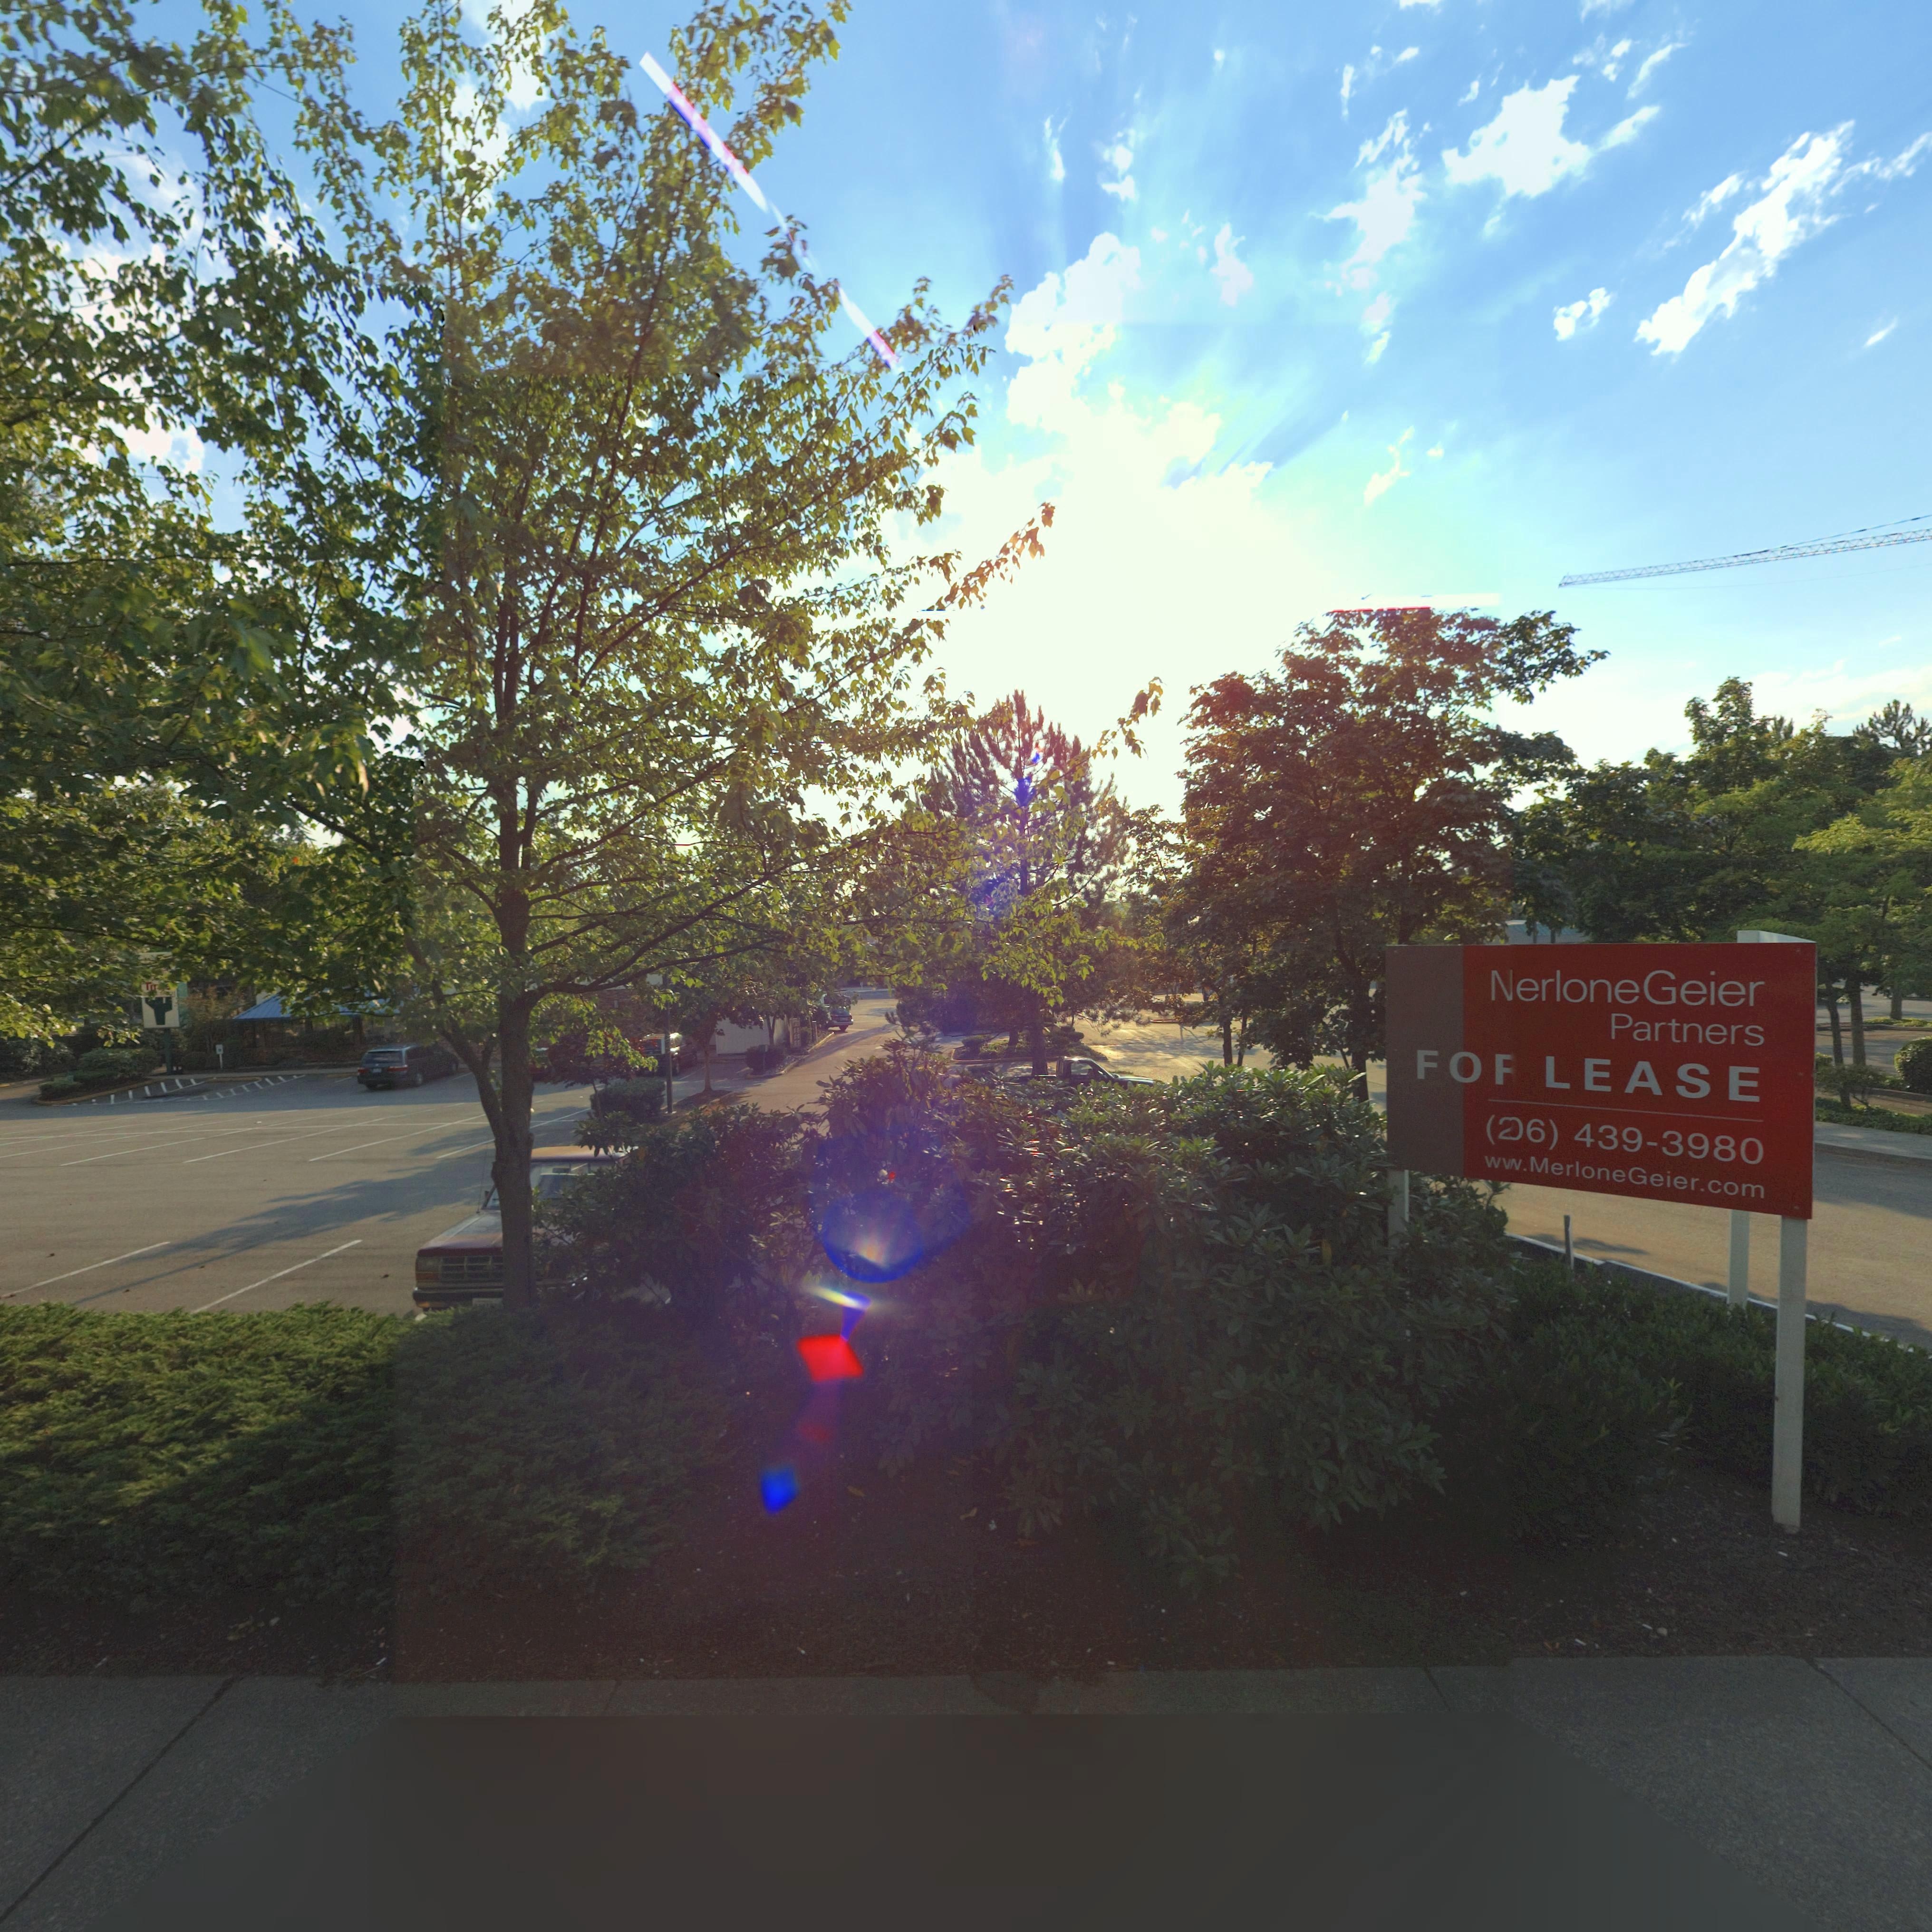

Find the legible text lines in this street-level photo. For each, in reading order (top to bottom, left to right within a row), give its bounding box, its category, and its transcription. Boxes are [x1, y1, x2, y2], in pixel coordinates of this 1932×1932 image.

[143, 982, 172, 990] BusinessName: T***